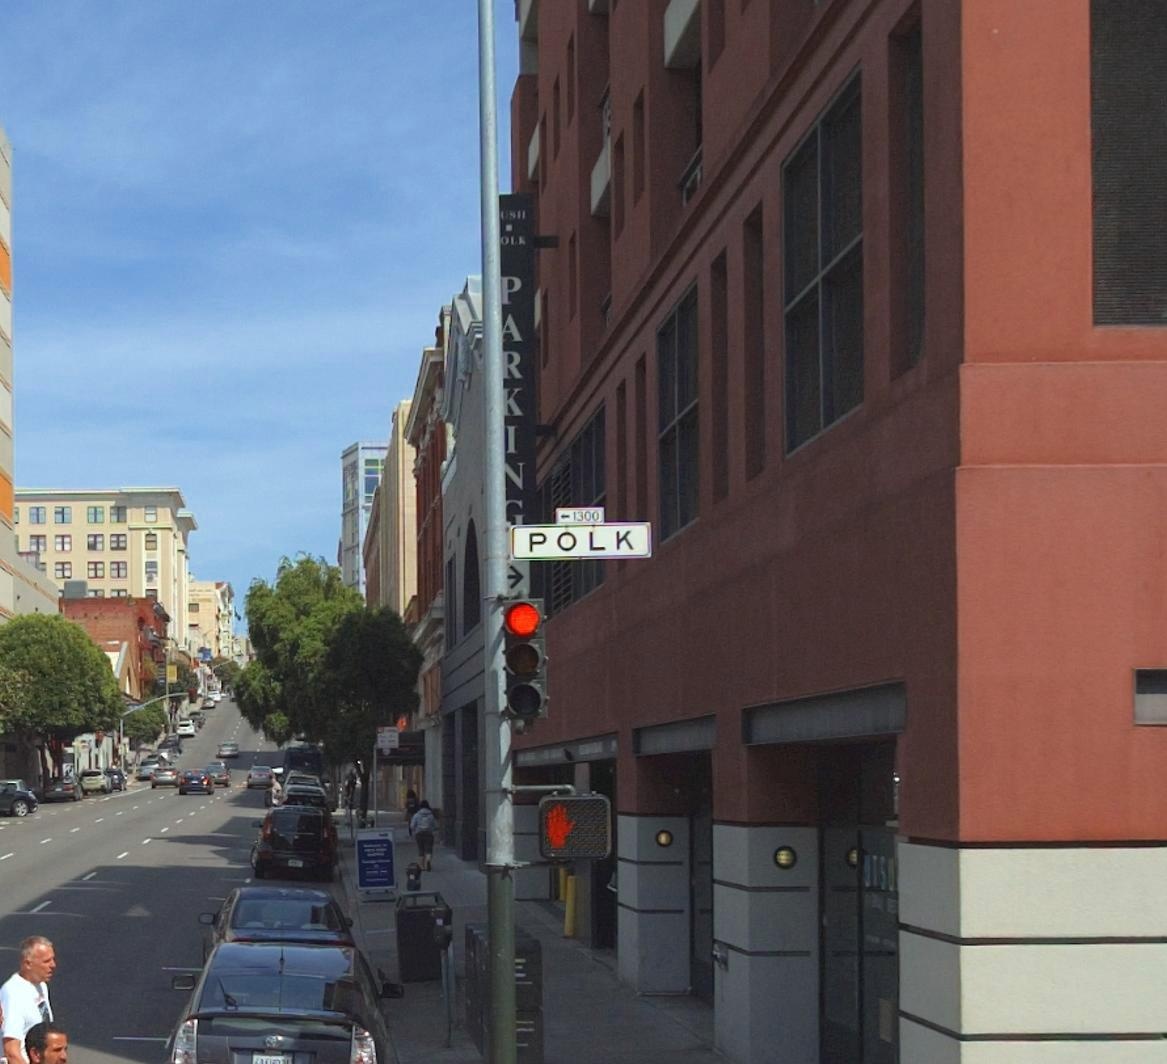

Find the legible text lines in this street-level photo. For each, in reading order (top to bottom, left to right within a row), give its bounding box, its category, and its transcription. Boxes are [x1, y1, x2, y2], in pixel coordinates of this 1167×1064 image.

[498, 207, 528, 222] None: USH
[499, 233, 529, 248] None: OLK
[497, 272, 527, 494] None: PARKI*
[556, 508, 602, 523] StreetNumberRange: <-1300
[527, 528, 636, 555] StreetName: POLK